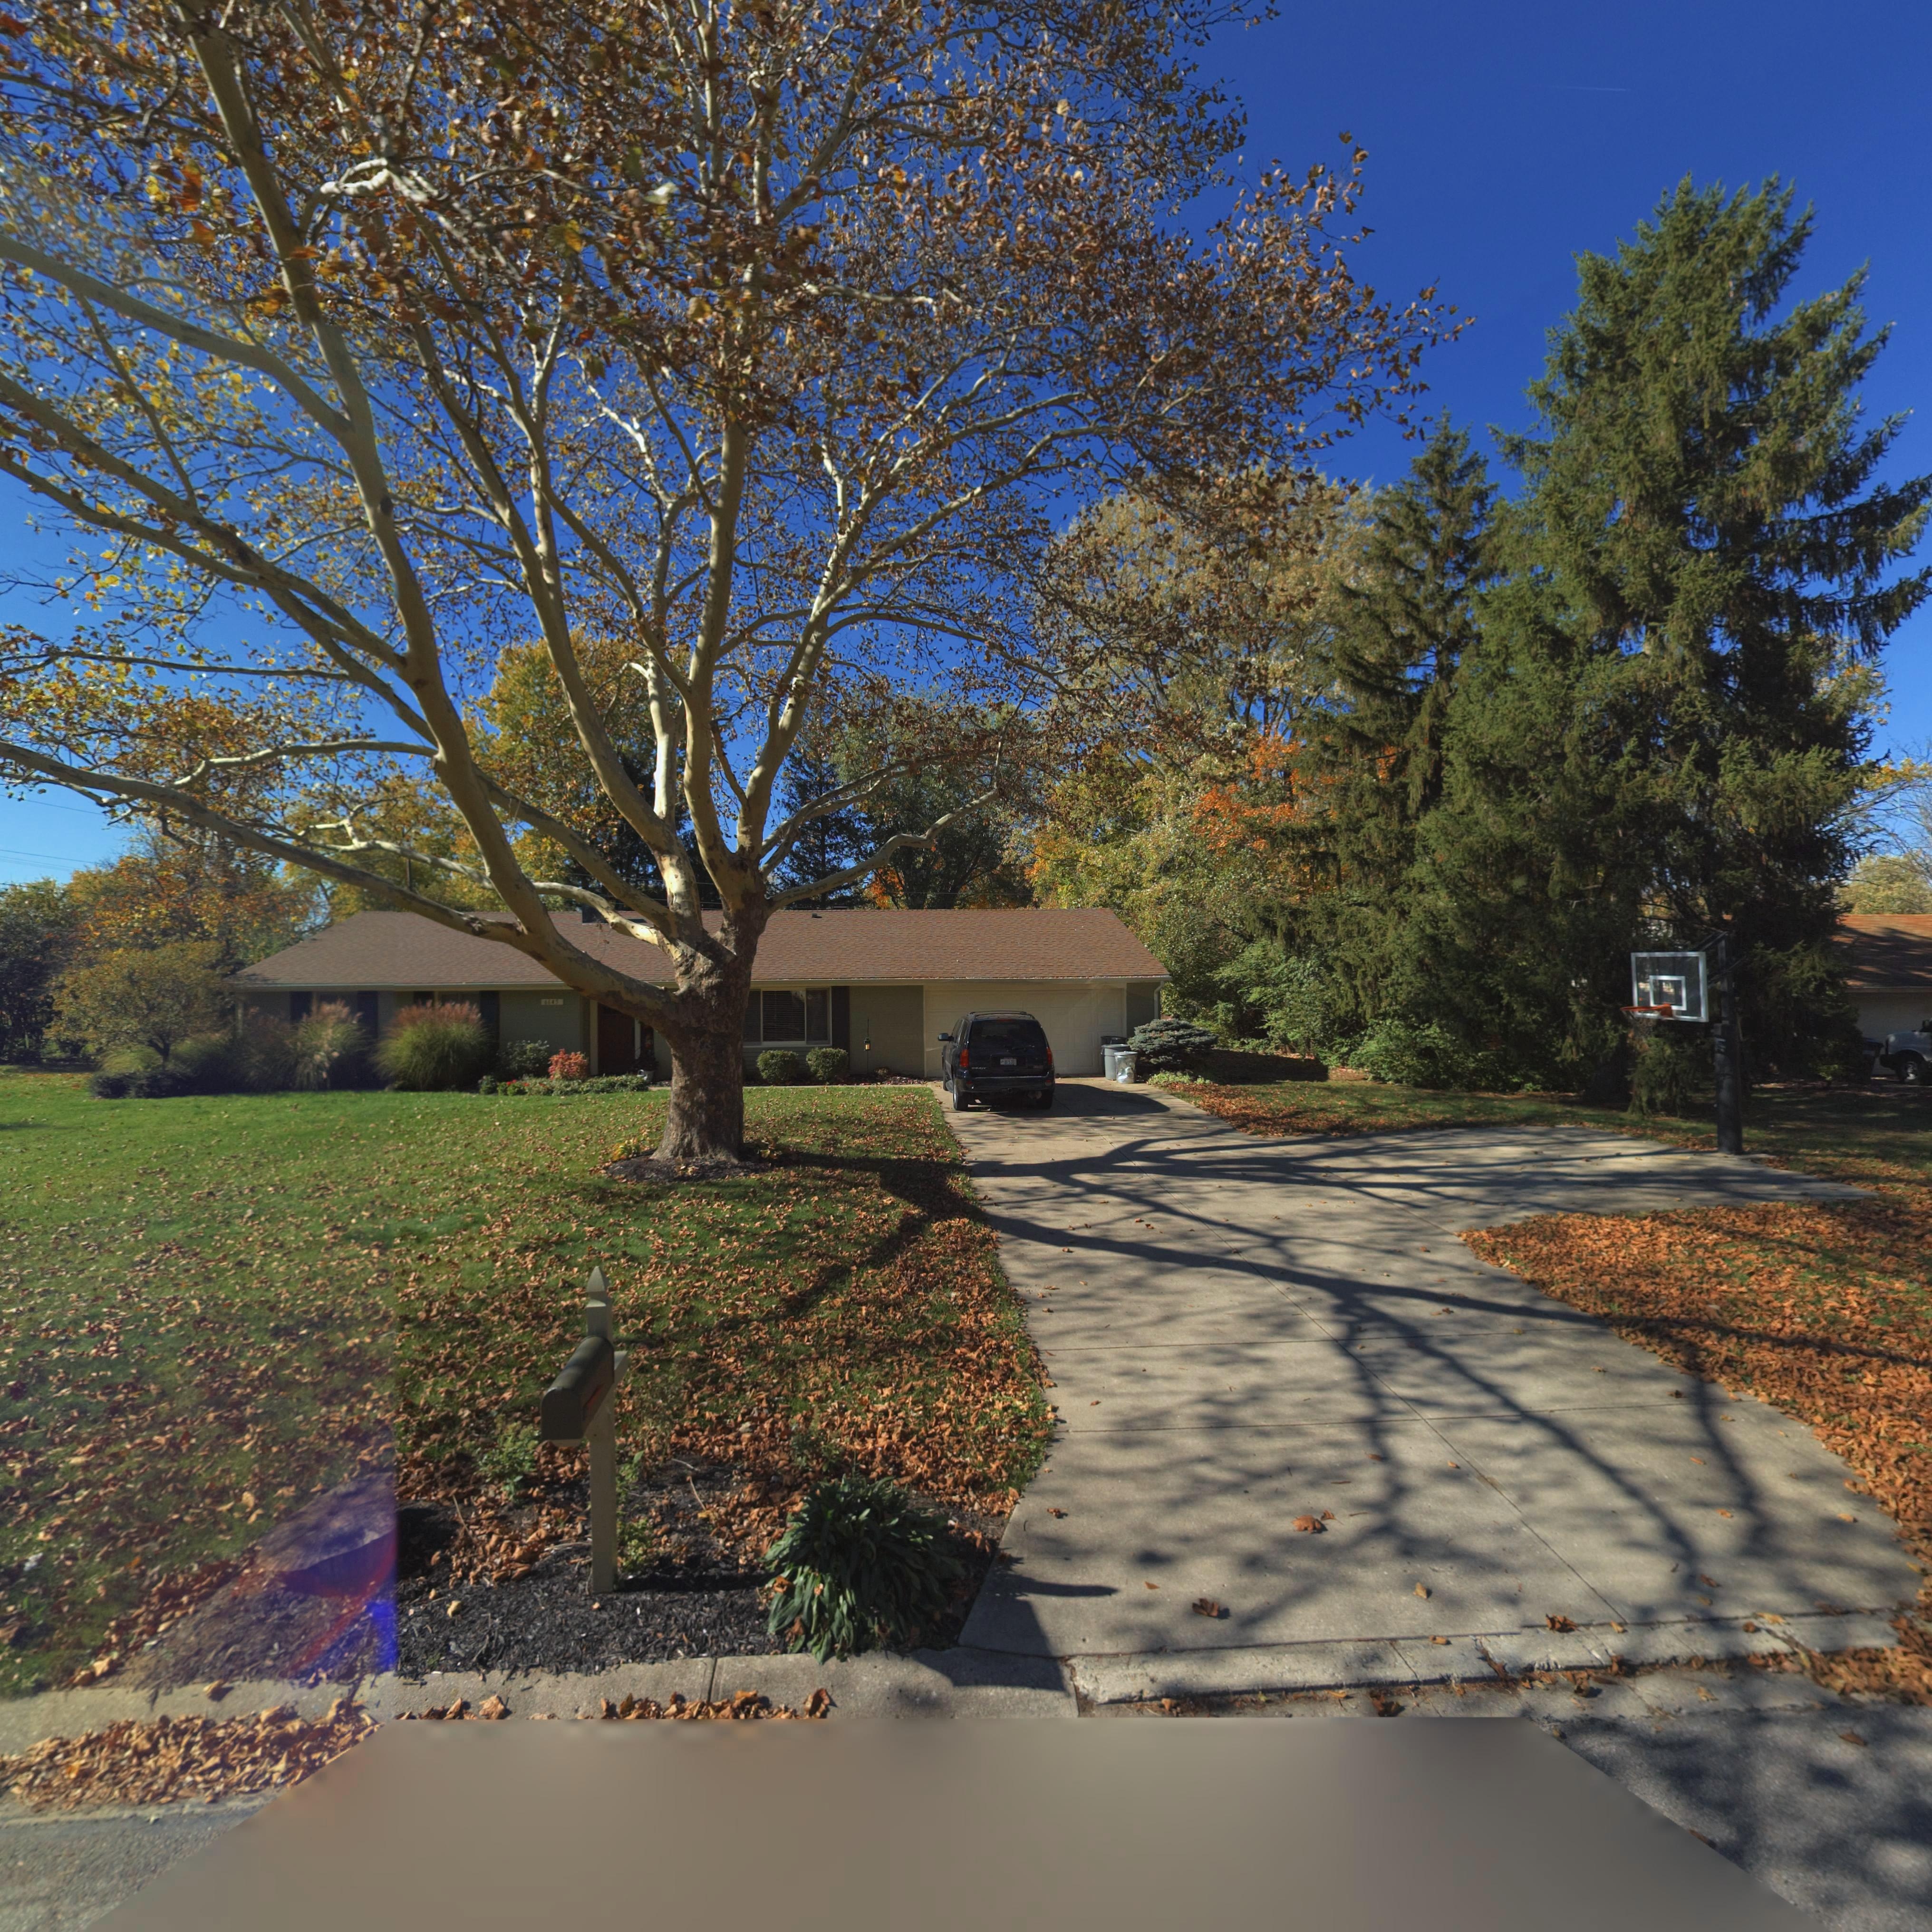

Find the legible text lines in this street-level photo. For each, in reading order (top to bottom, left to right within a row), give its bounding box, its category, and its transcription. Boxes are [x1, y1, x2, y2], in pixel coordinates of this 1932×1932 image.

[544, 999, 560, 1005] StreetNumber: 6645